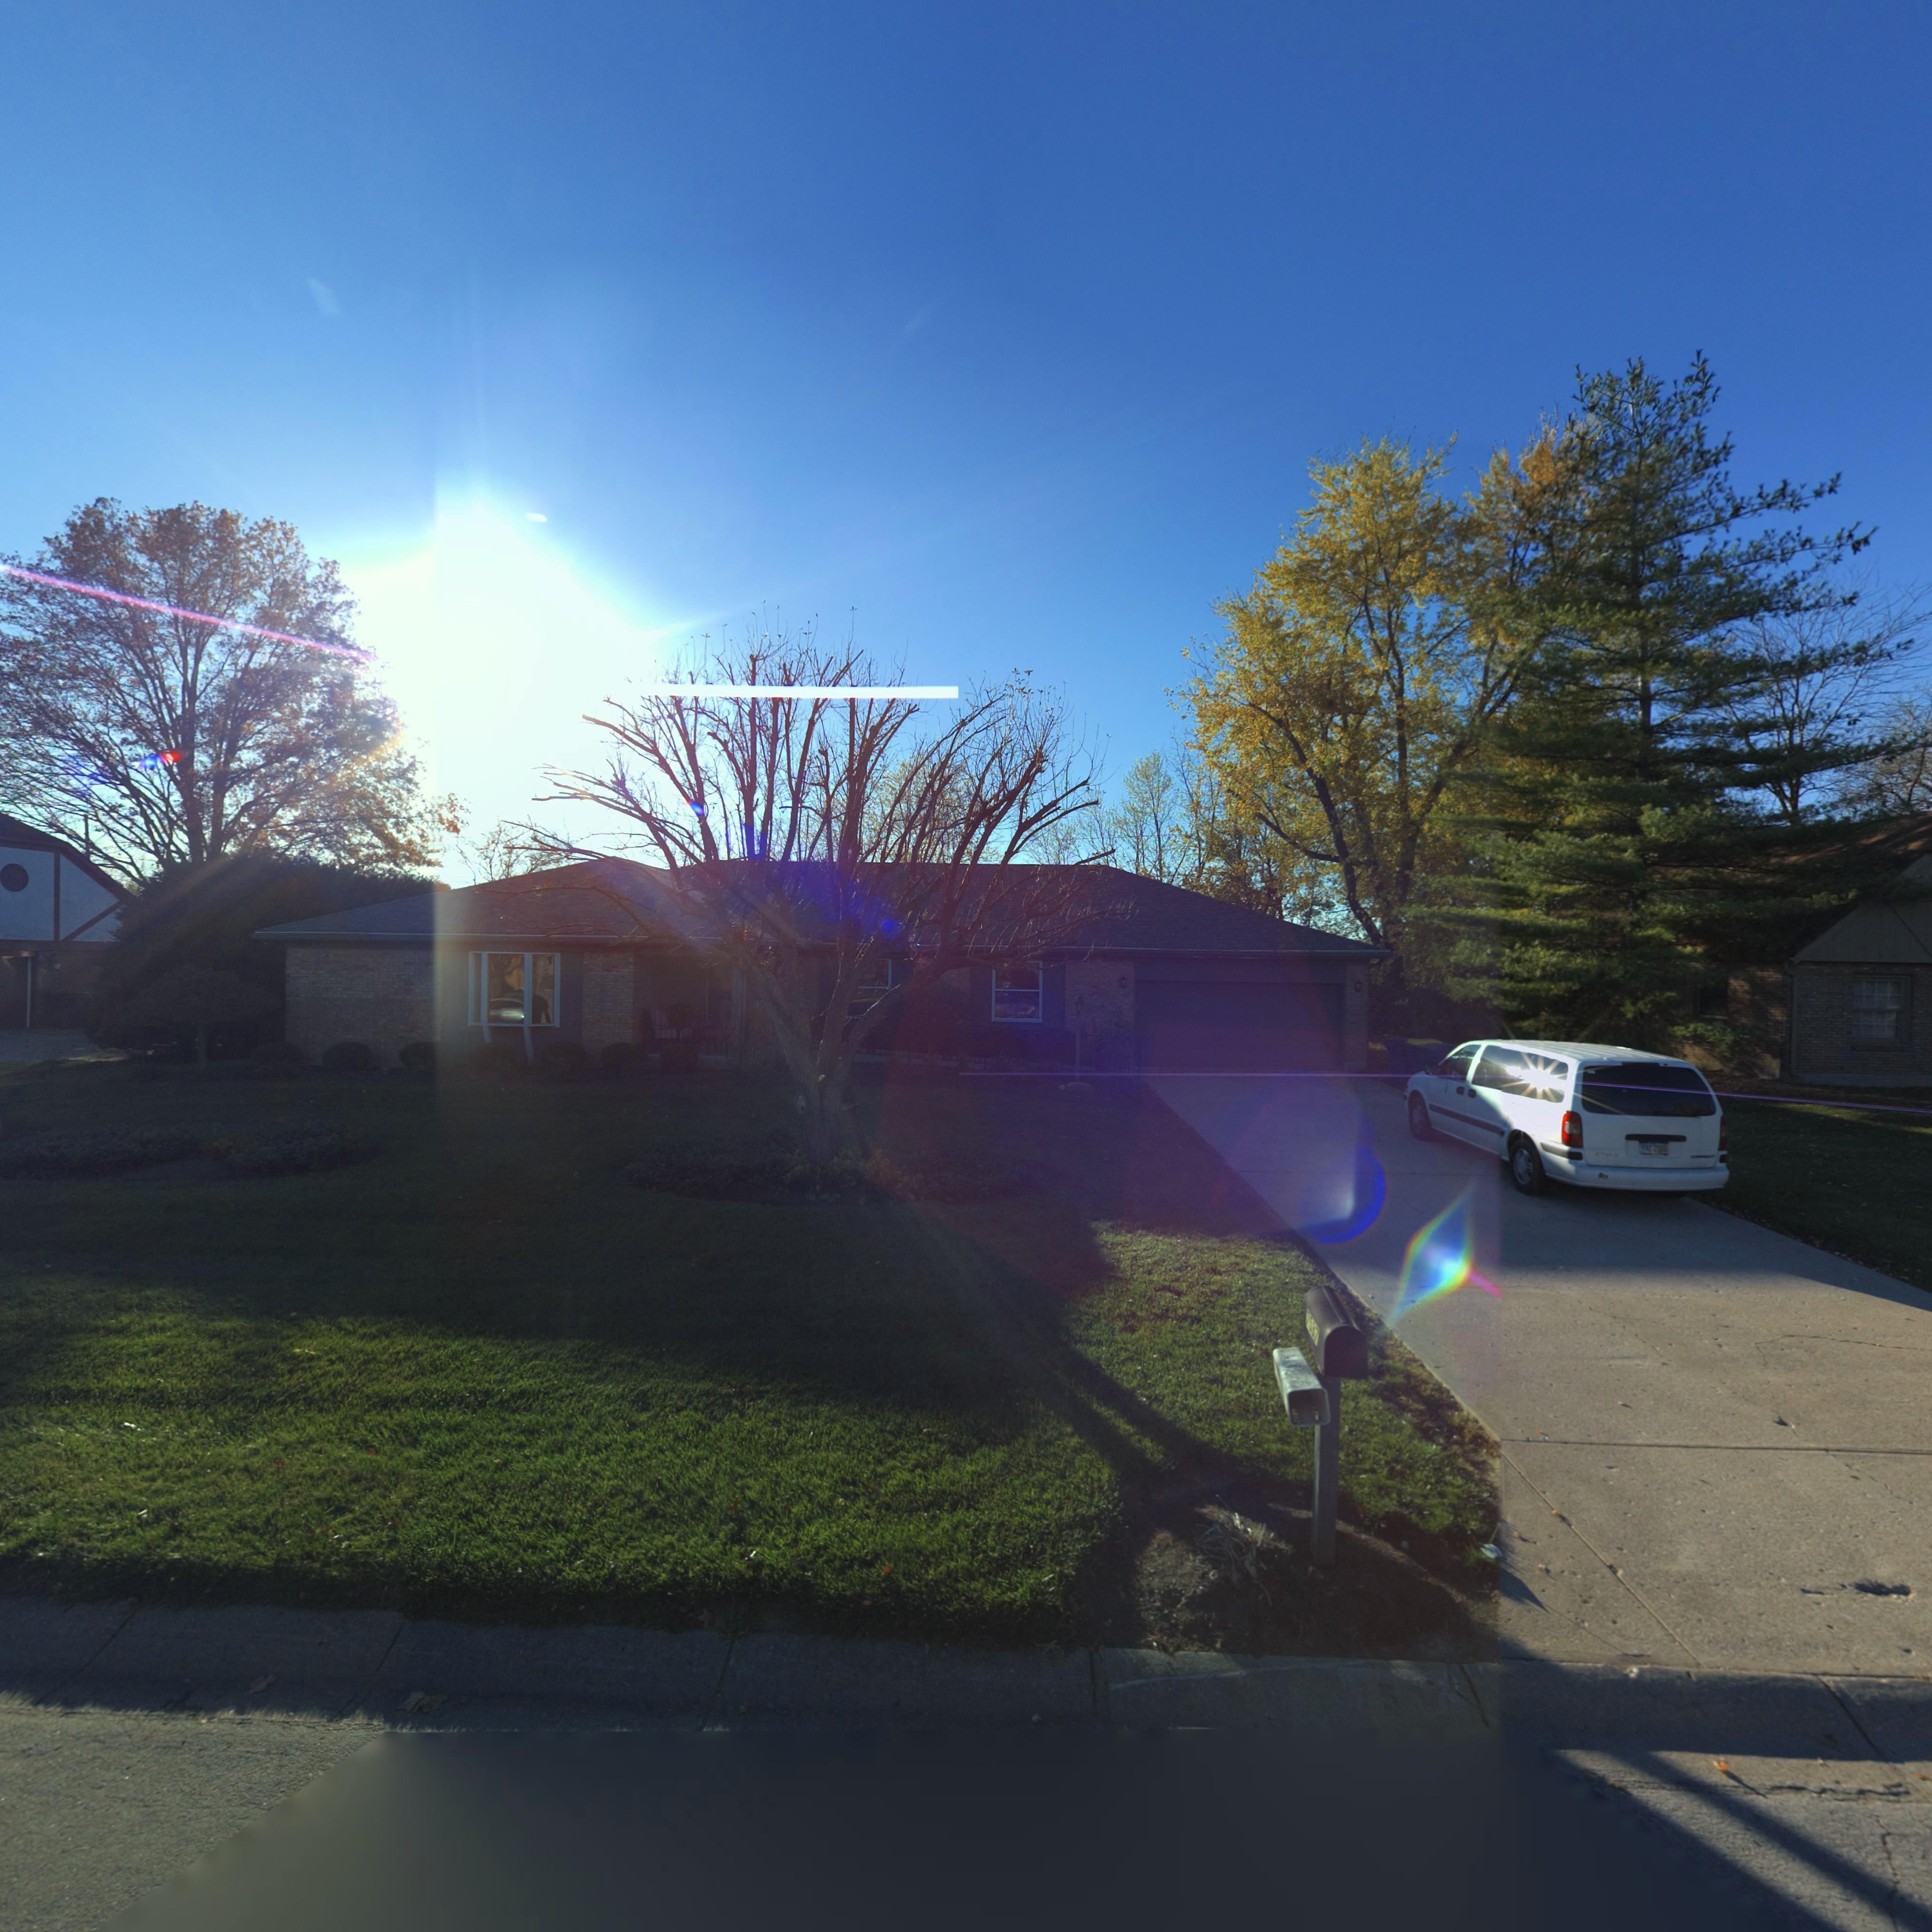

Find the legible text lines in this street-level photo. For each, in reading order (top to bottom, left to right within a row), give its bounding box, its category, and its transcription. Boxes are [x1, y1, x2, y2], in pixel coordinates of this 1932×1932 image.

[1305, 1308, 1320, 1345] StreetNumber: 7537